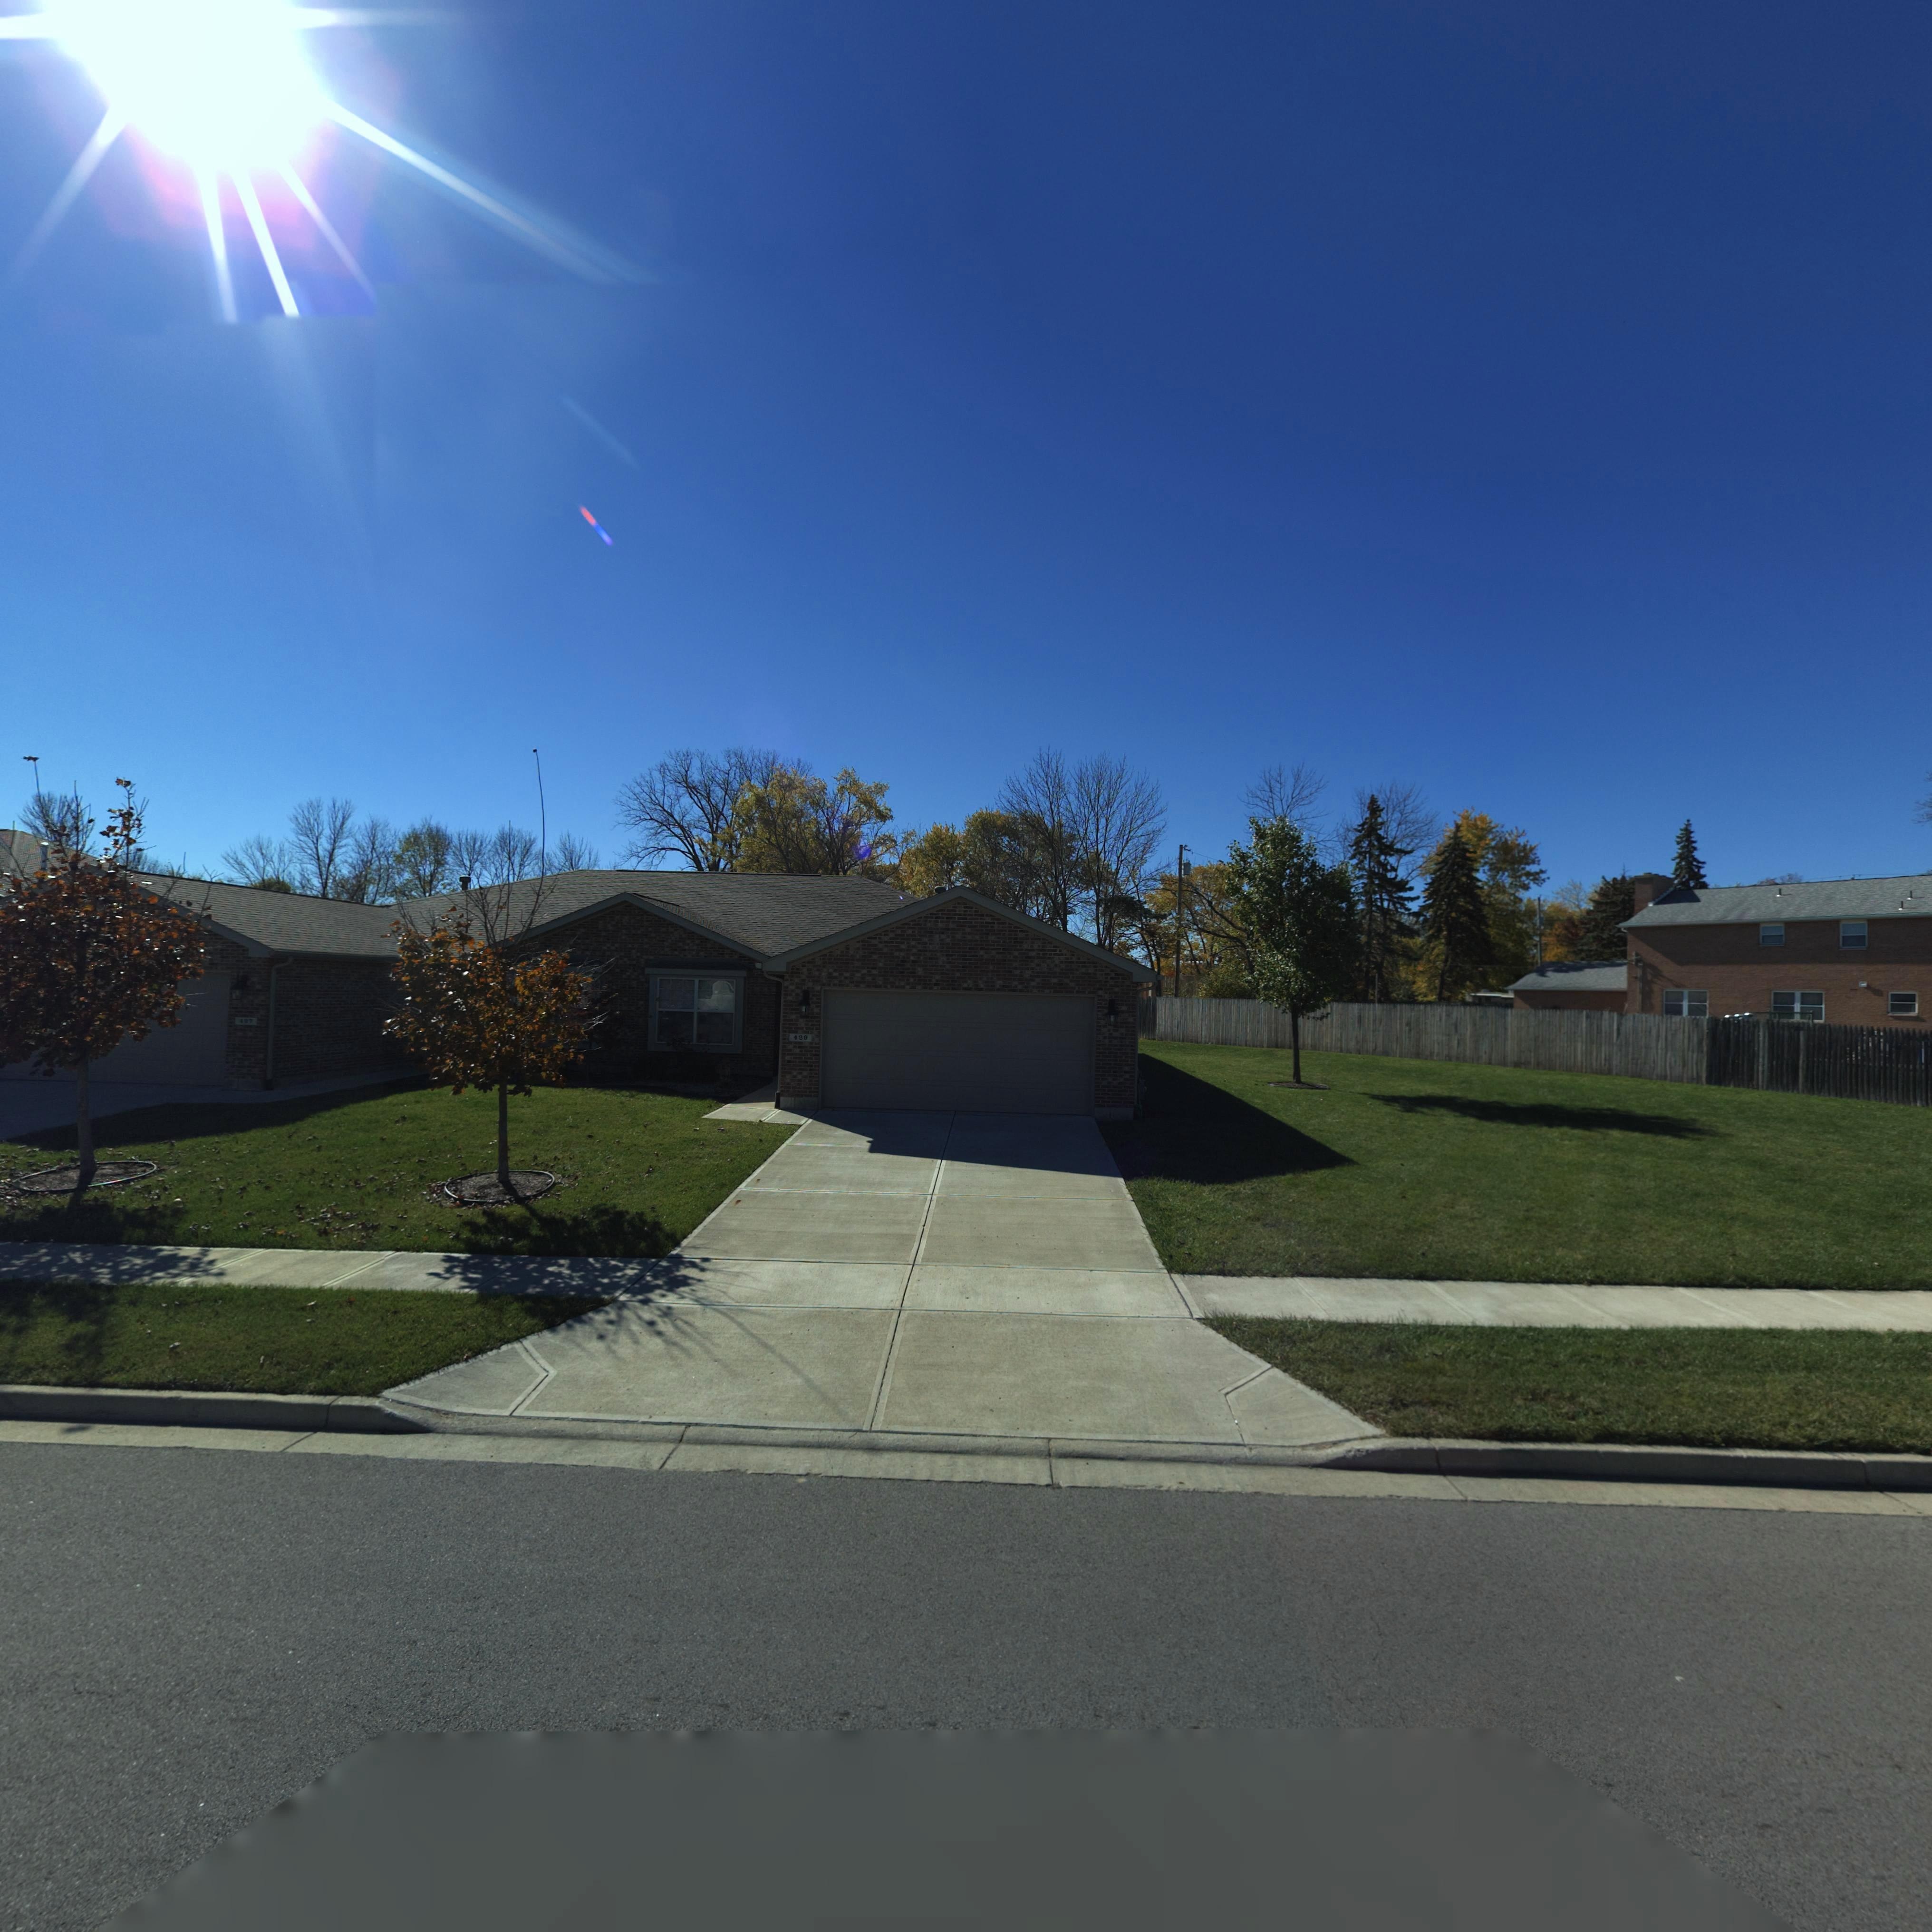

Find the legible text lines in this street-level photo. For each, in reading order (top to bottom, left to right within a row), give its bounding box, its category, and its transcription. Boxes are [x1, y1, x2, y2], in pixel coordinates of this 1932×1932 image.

[238, 1017, 254, 1024] StreetNumber: 427
[792, 1034, 809, 1041] StreetNumber: 429